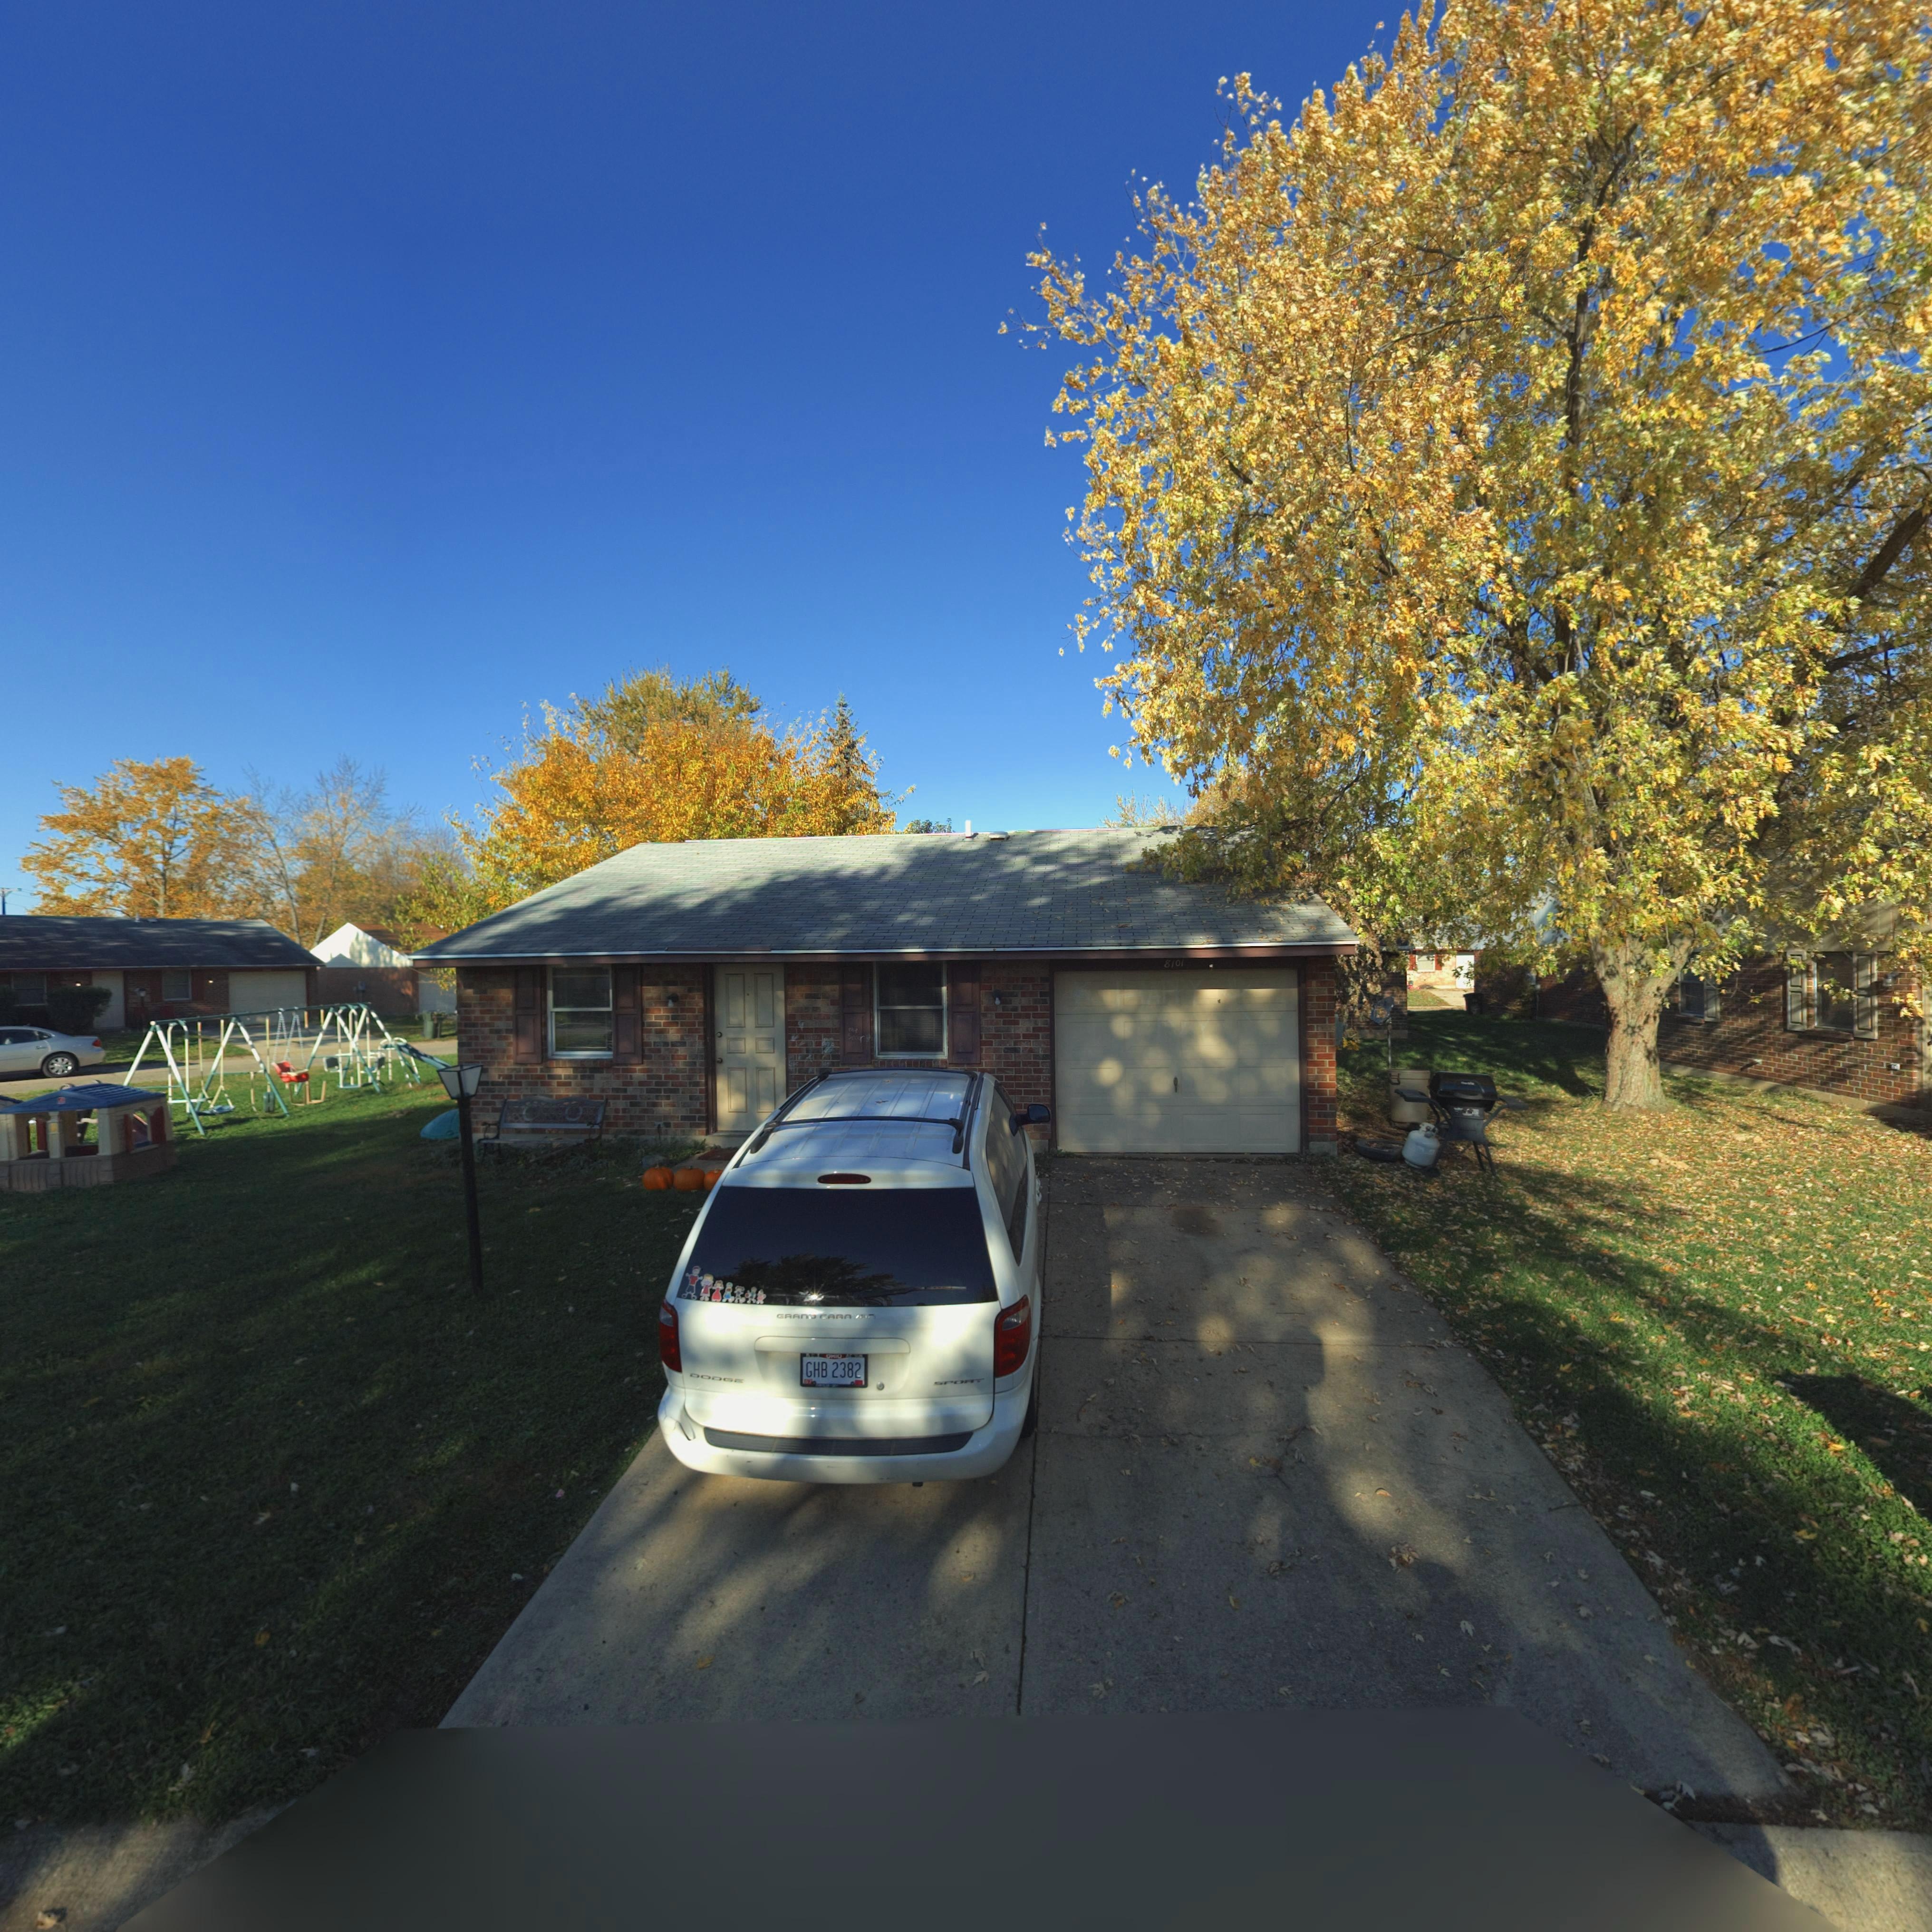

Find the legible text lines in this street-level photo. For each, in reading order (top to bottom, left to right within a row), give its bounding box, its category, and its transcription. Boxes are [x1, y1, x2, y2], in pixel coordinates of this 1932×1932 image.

[1162, 958, 1185, 970] StreetNumber: 8101